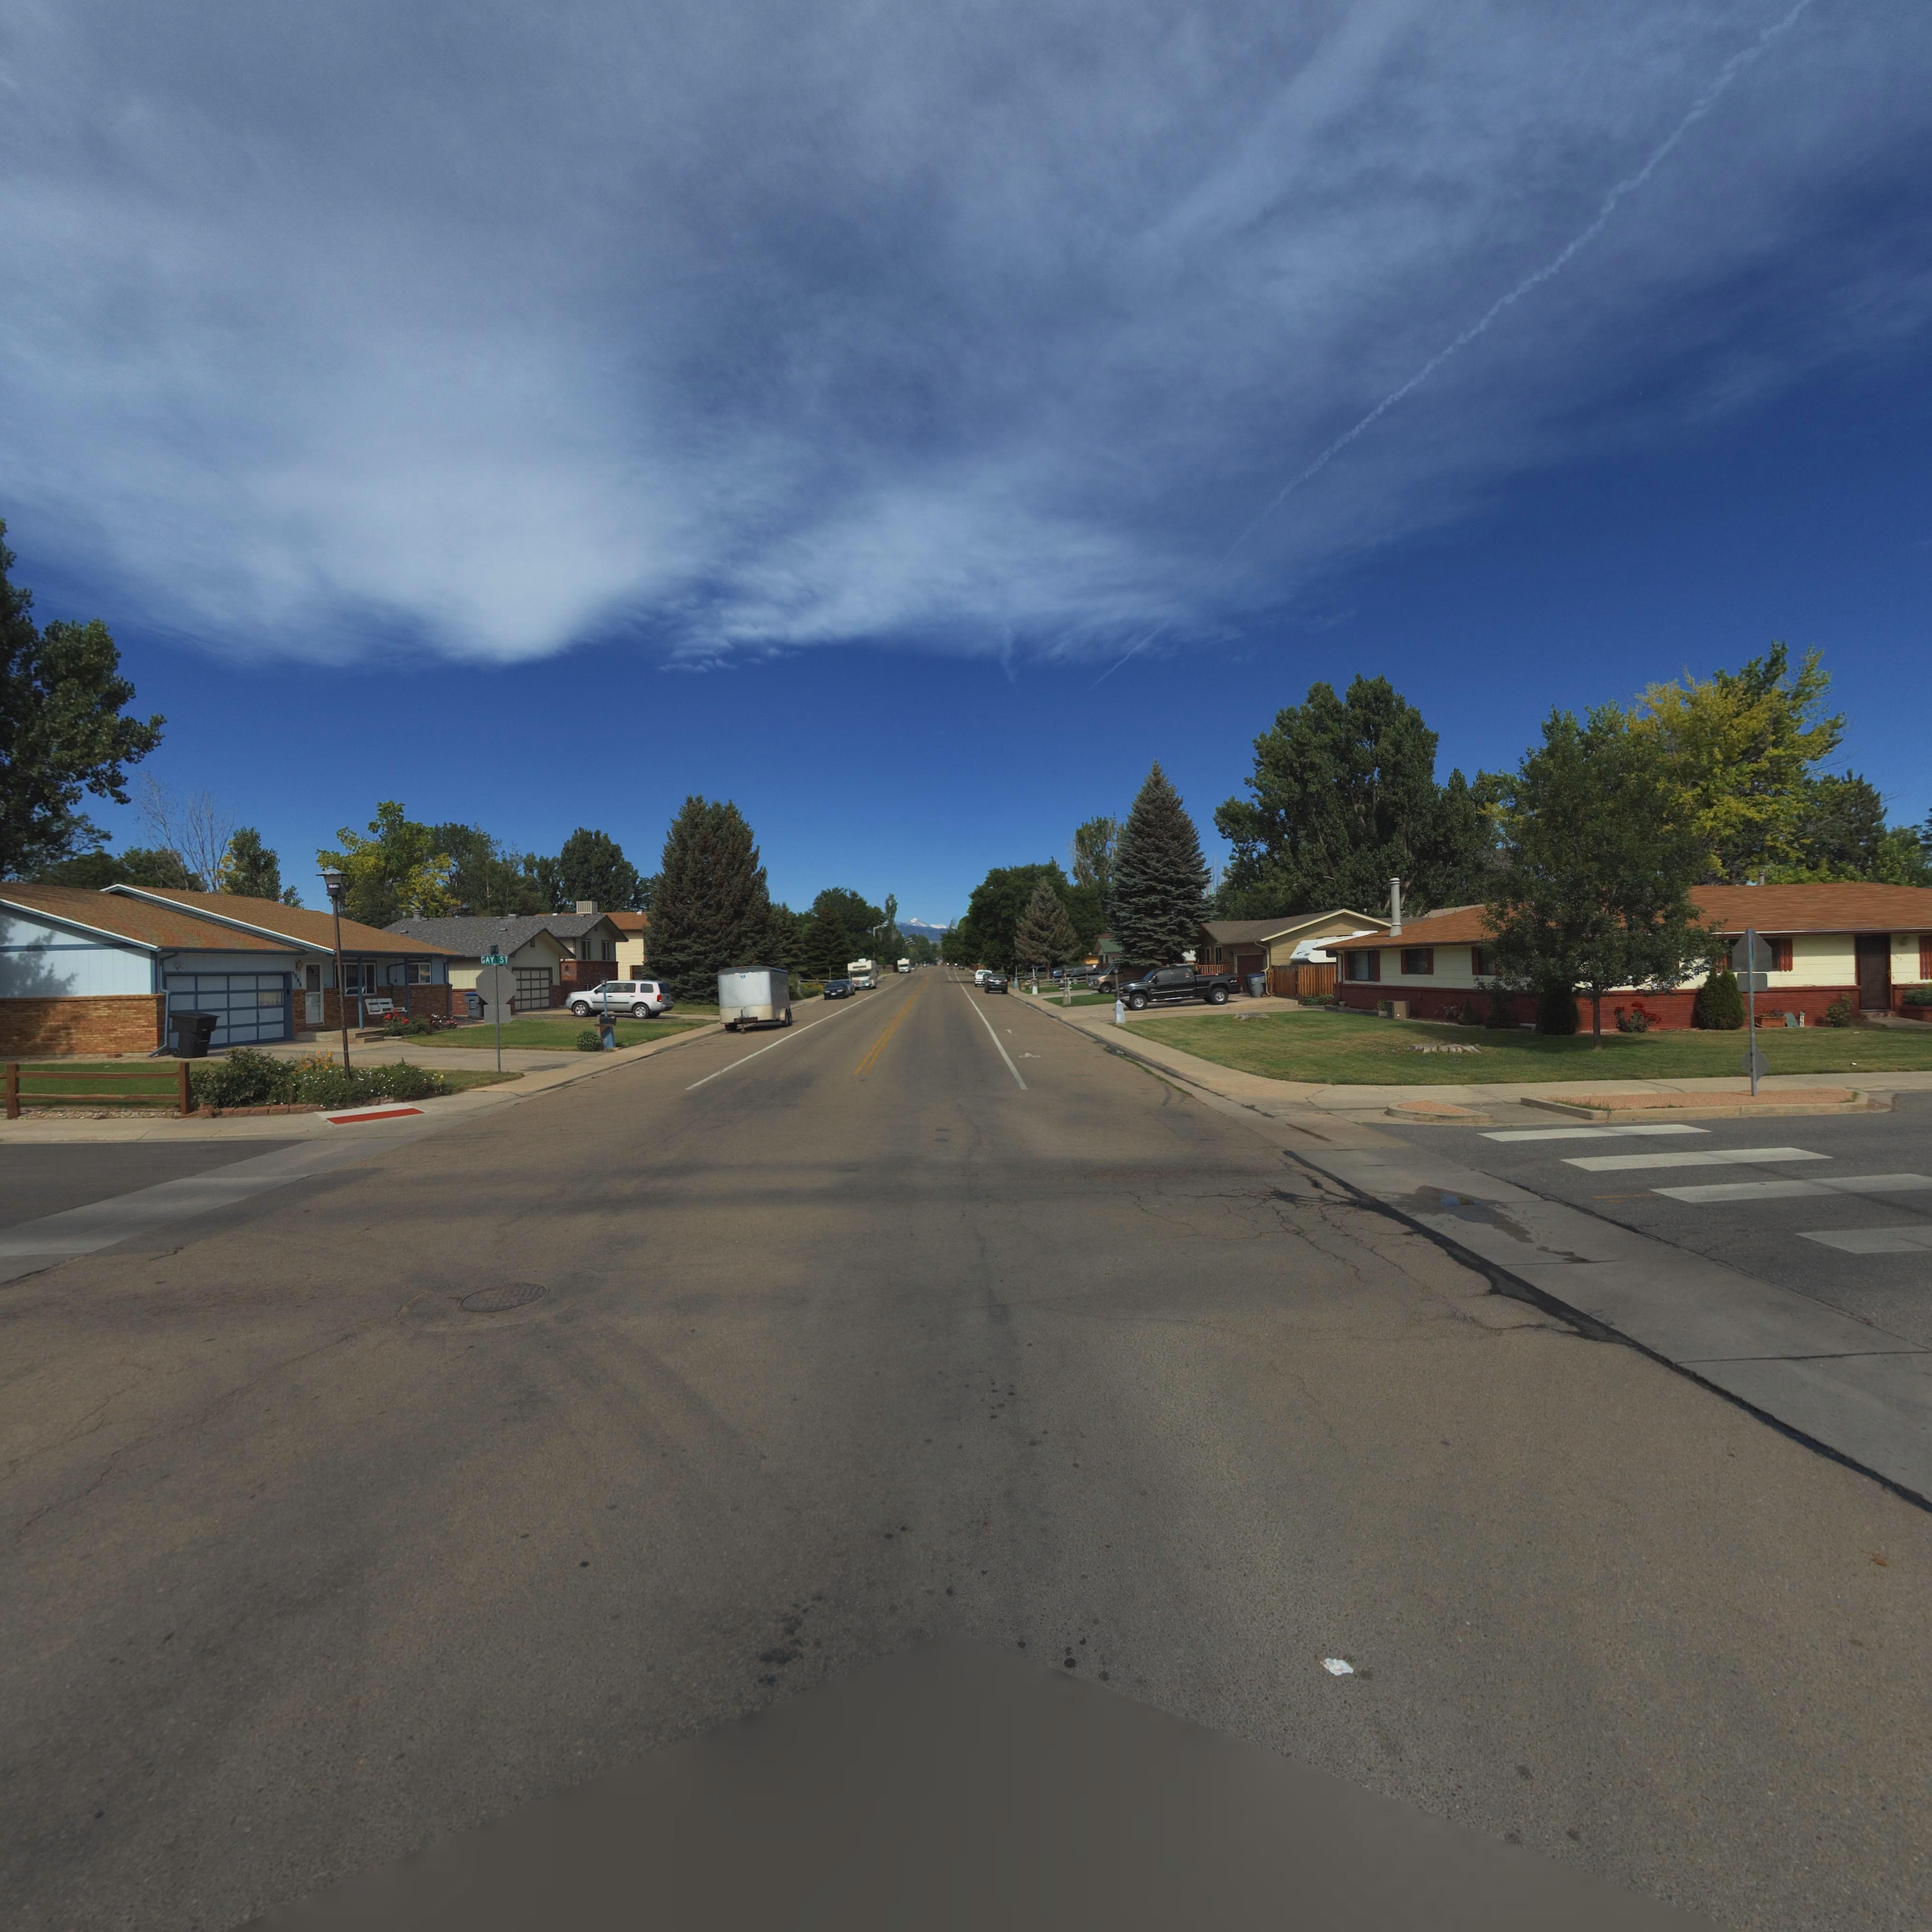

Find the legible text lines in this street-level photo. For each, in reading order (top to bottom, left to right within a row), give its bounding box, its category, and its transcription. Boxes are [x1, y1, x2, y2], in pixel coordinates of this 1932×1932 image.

[490, 946, 499, 954] StreetName: 19TH AV
[481, 955, 509, 964] StreetName: GAY ST
[1891, 950, 1903, 961] BusinessName: 19**
[292, 970, 302, 987] StreetNumber: 13**